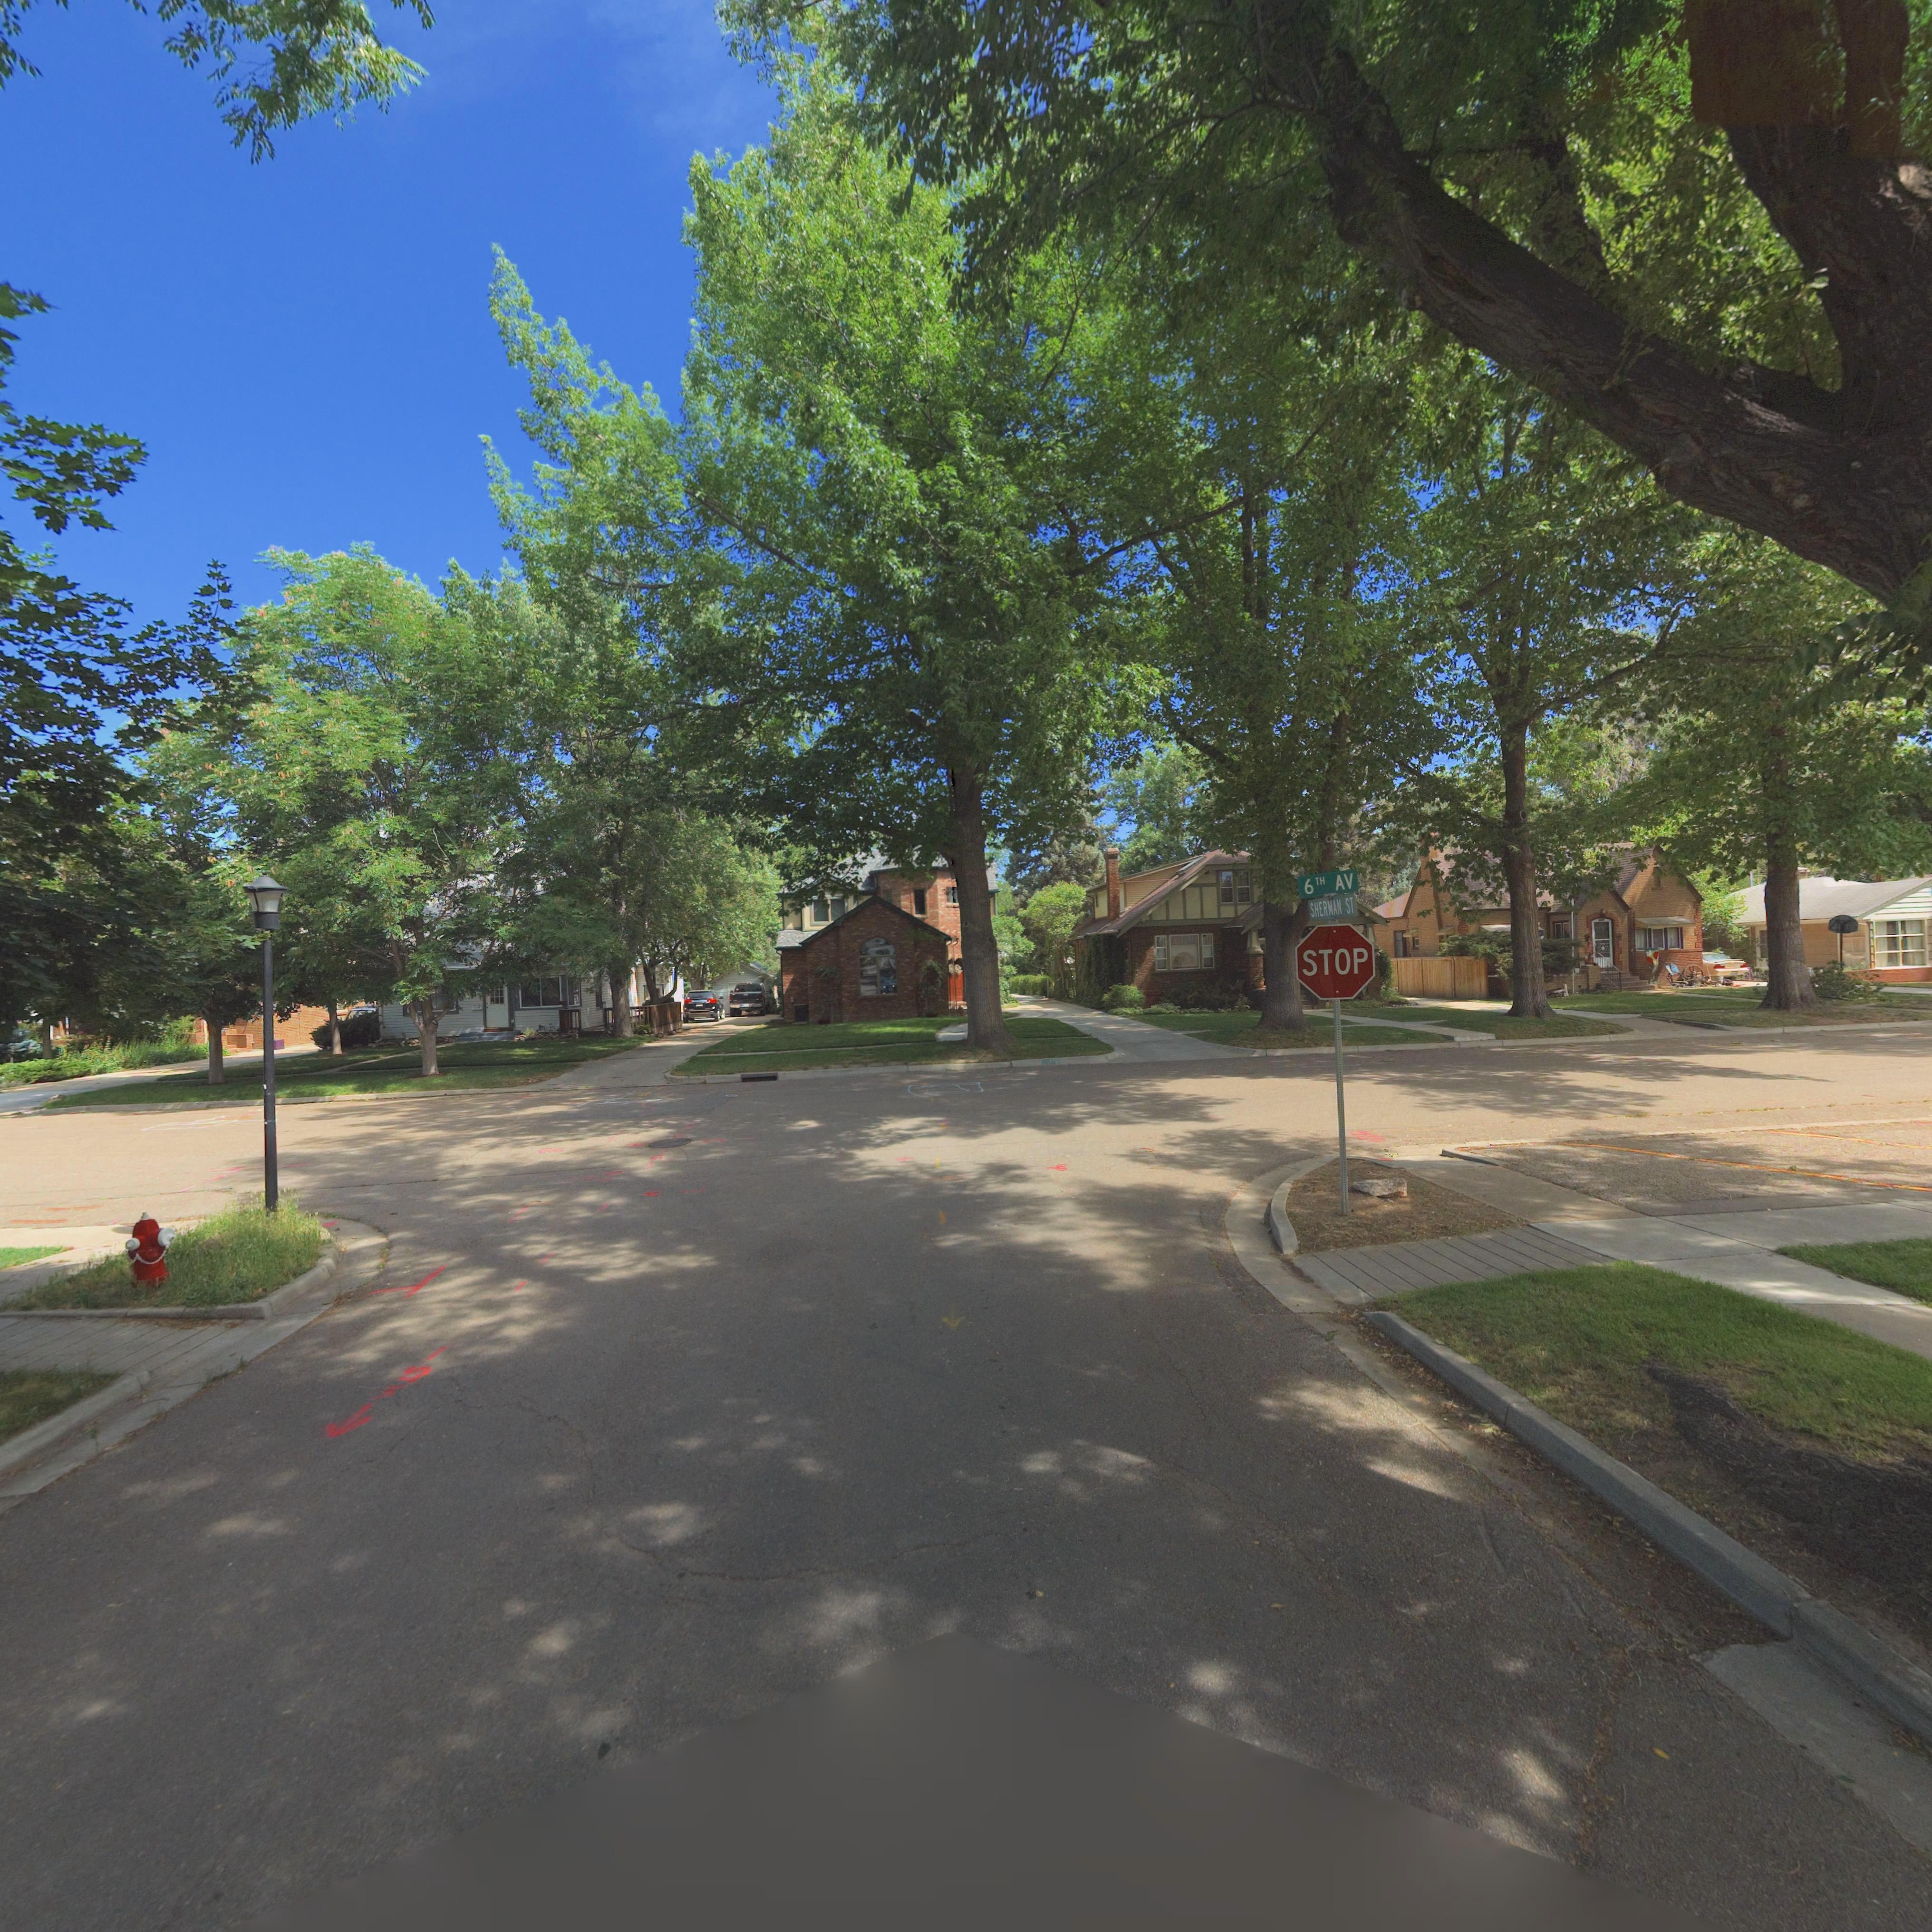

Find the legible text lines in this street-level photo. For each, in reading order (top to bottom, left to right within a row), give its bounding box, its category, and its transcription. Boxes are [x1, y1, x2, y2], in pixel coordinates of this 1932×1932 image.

[1304, 872, 1353, 895] StreetName: 6TH AV
[1309, 897, 1354, 918] StreetName: SHERMAN ST
[474, 1005, 480, 1008] StreetNumber: 1***